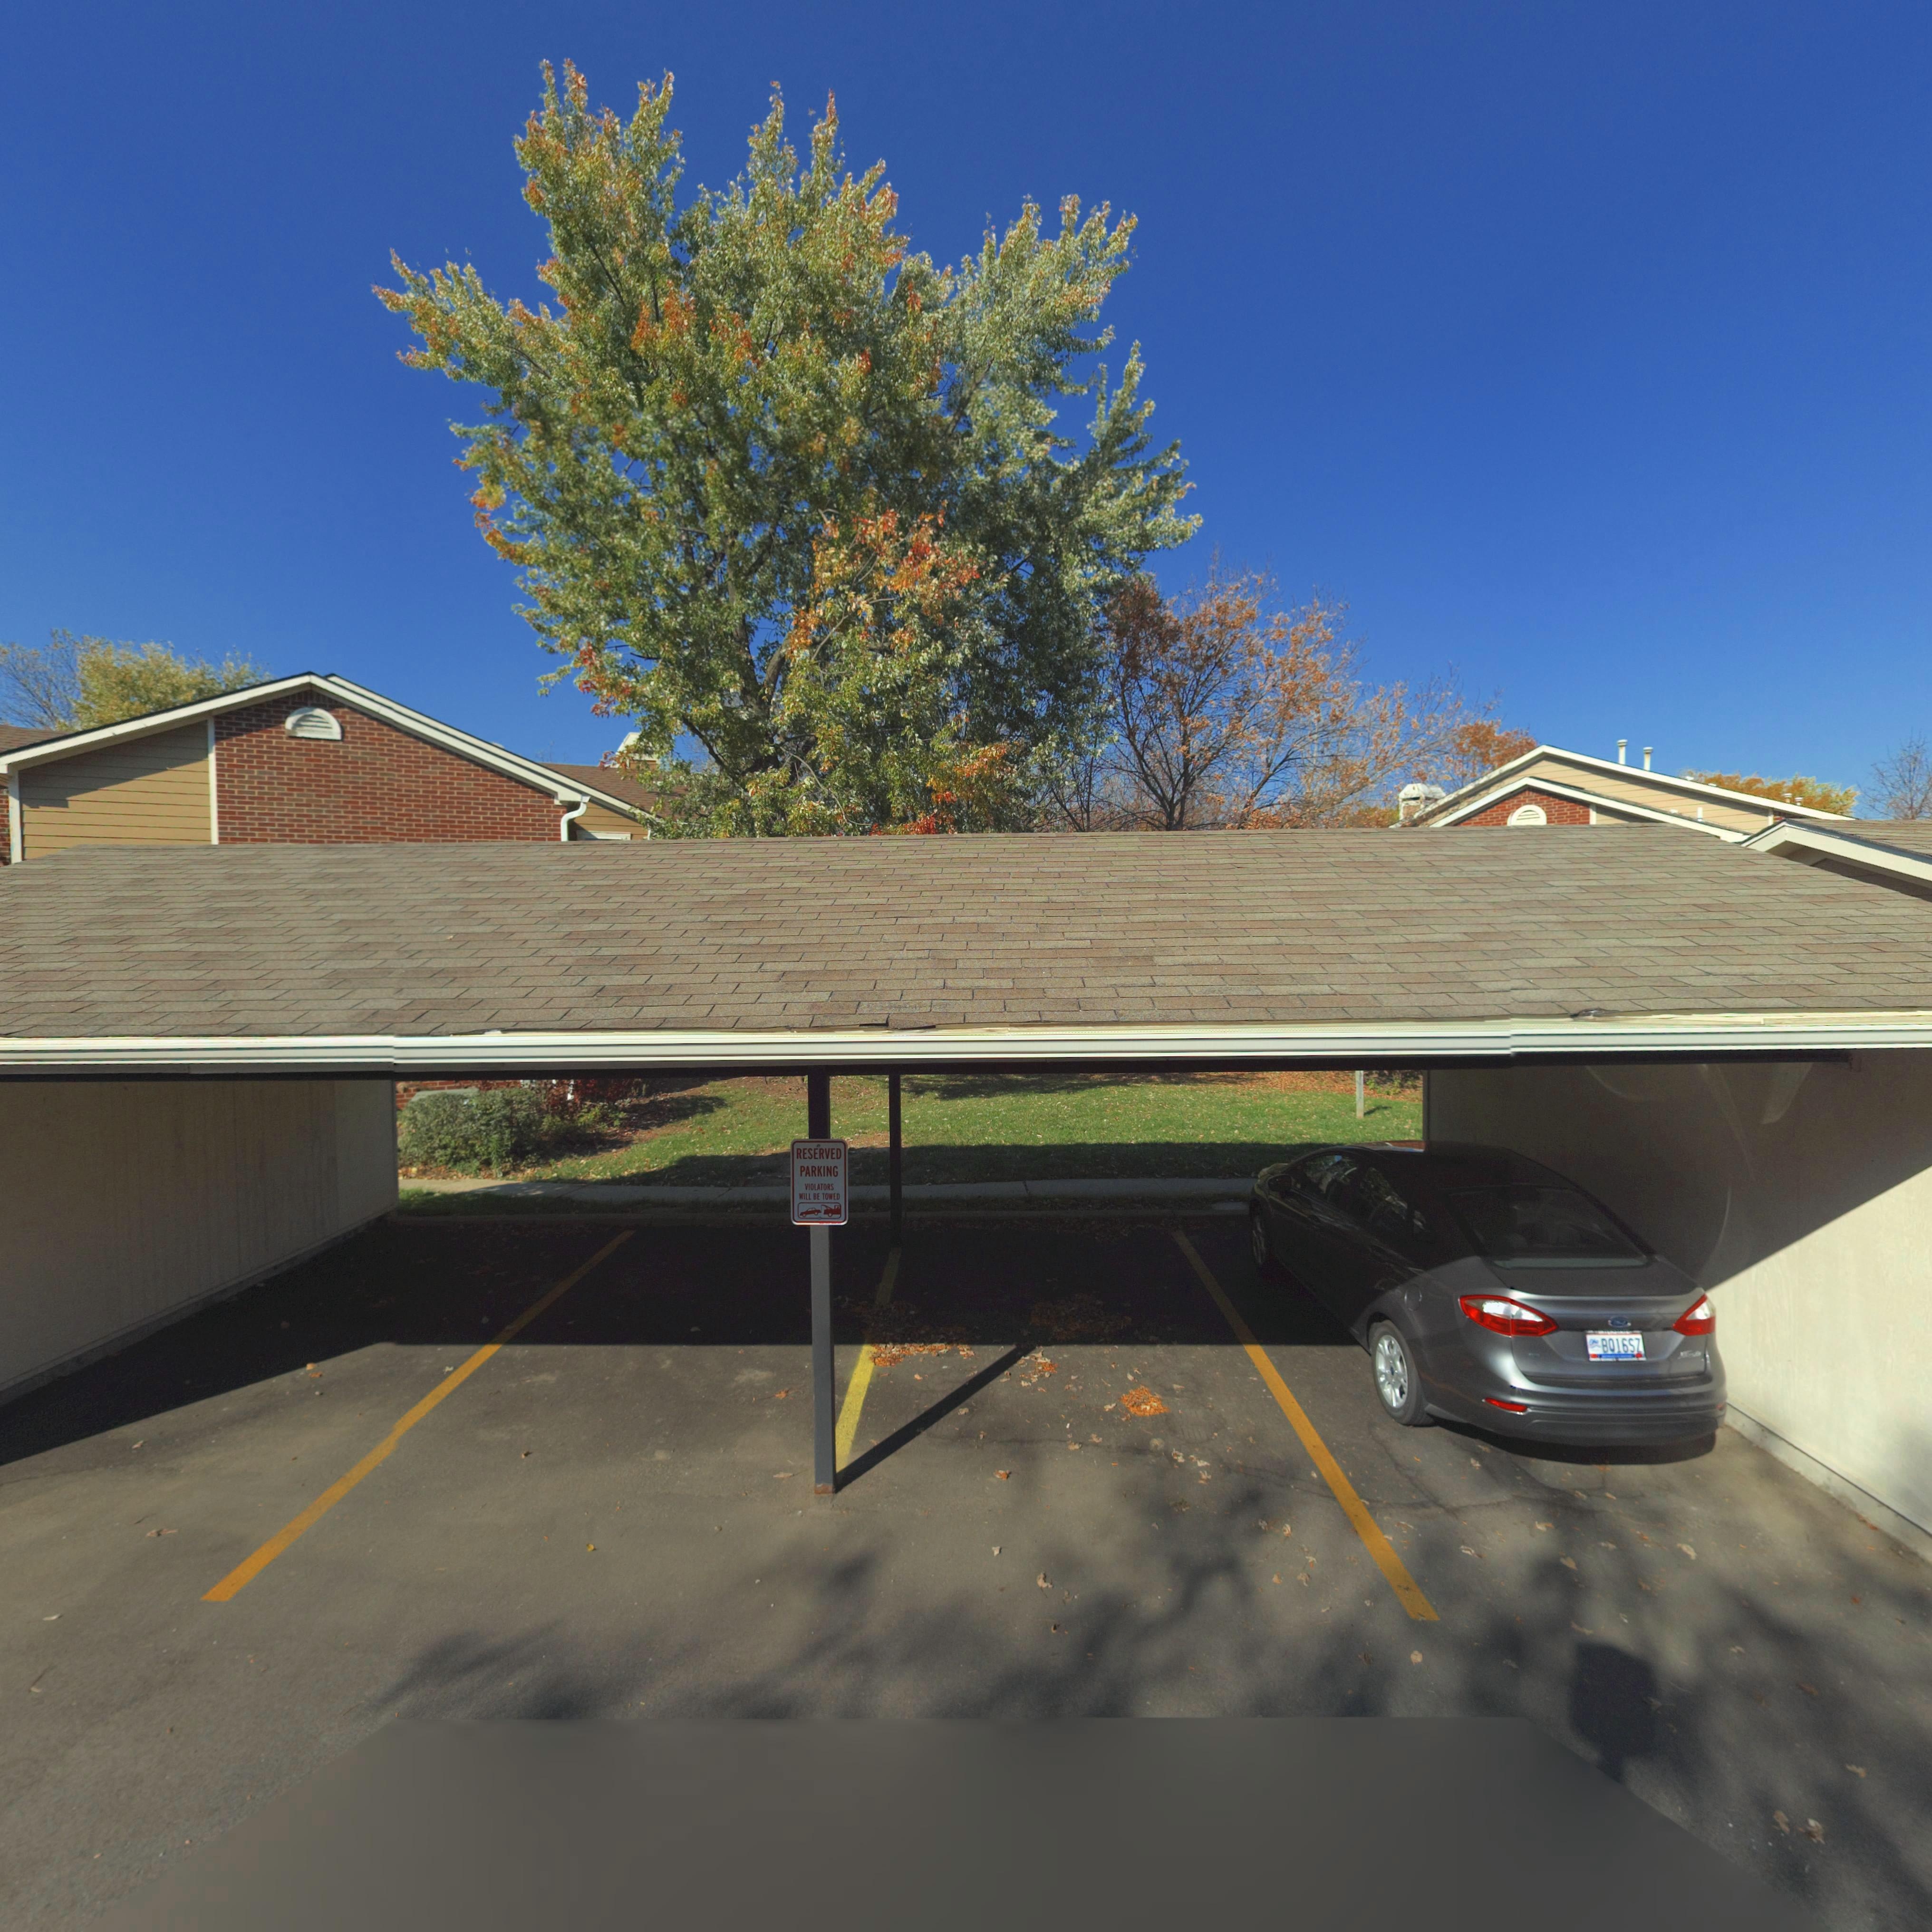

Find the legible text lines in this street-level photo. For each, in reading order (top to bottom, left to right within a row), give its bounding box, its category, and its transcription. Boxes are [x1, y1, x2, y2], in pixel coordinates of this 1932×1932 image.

[795, 1145, 844, 1161] None: RESERVED
[798, 1164, 840, 1179] None: PARKING
[803, 1181, 835, 1192] None: VIOLATORS
[797, 1191, 841, 1201] None: WILL BE TOWED
[1598, 1336, 1644, 1356] None: BQ16SZ